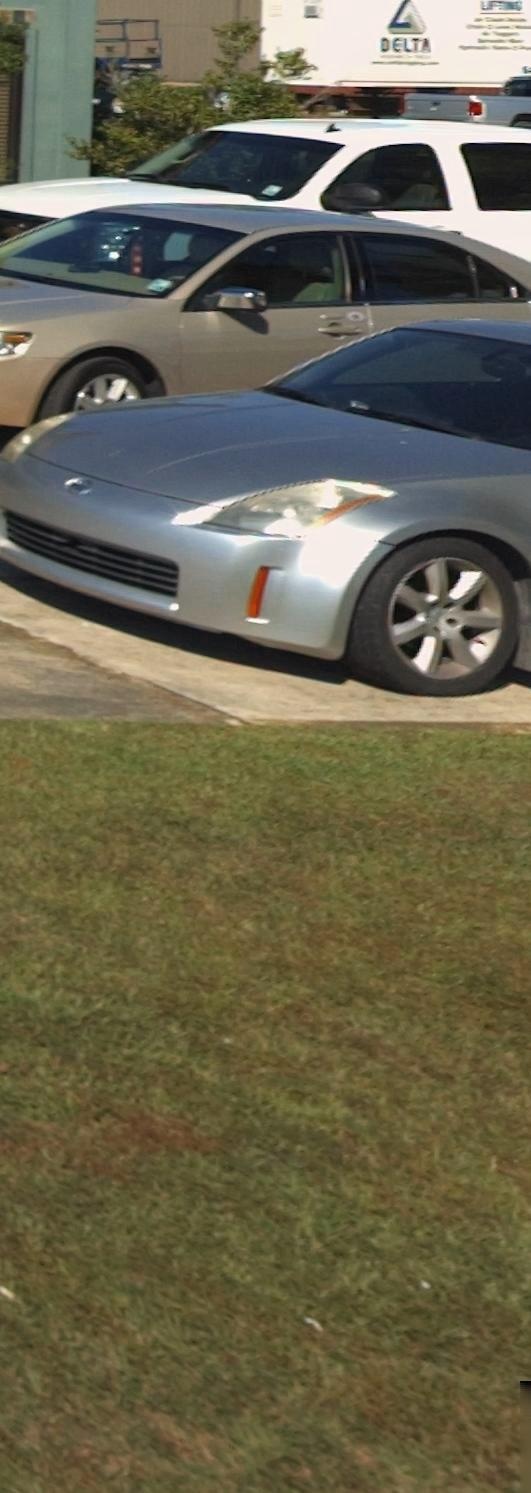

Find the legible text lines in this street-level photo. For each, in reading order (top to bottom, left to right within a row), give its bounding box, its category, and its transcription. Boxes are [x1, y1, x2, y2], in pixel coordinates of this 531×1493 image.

[377, 34, 434, 56] None: DELTA